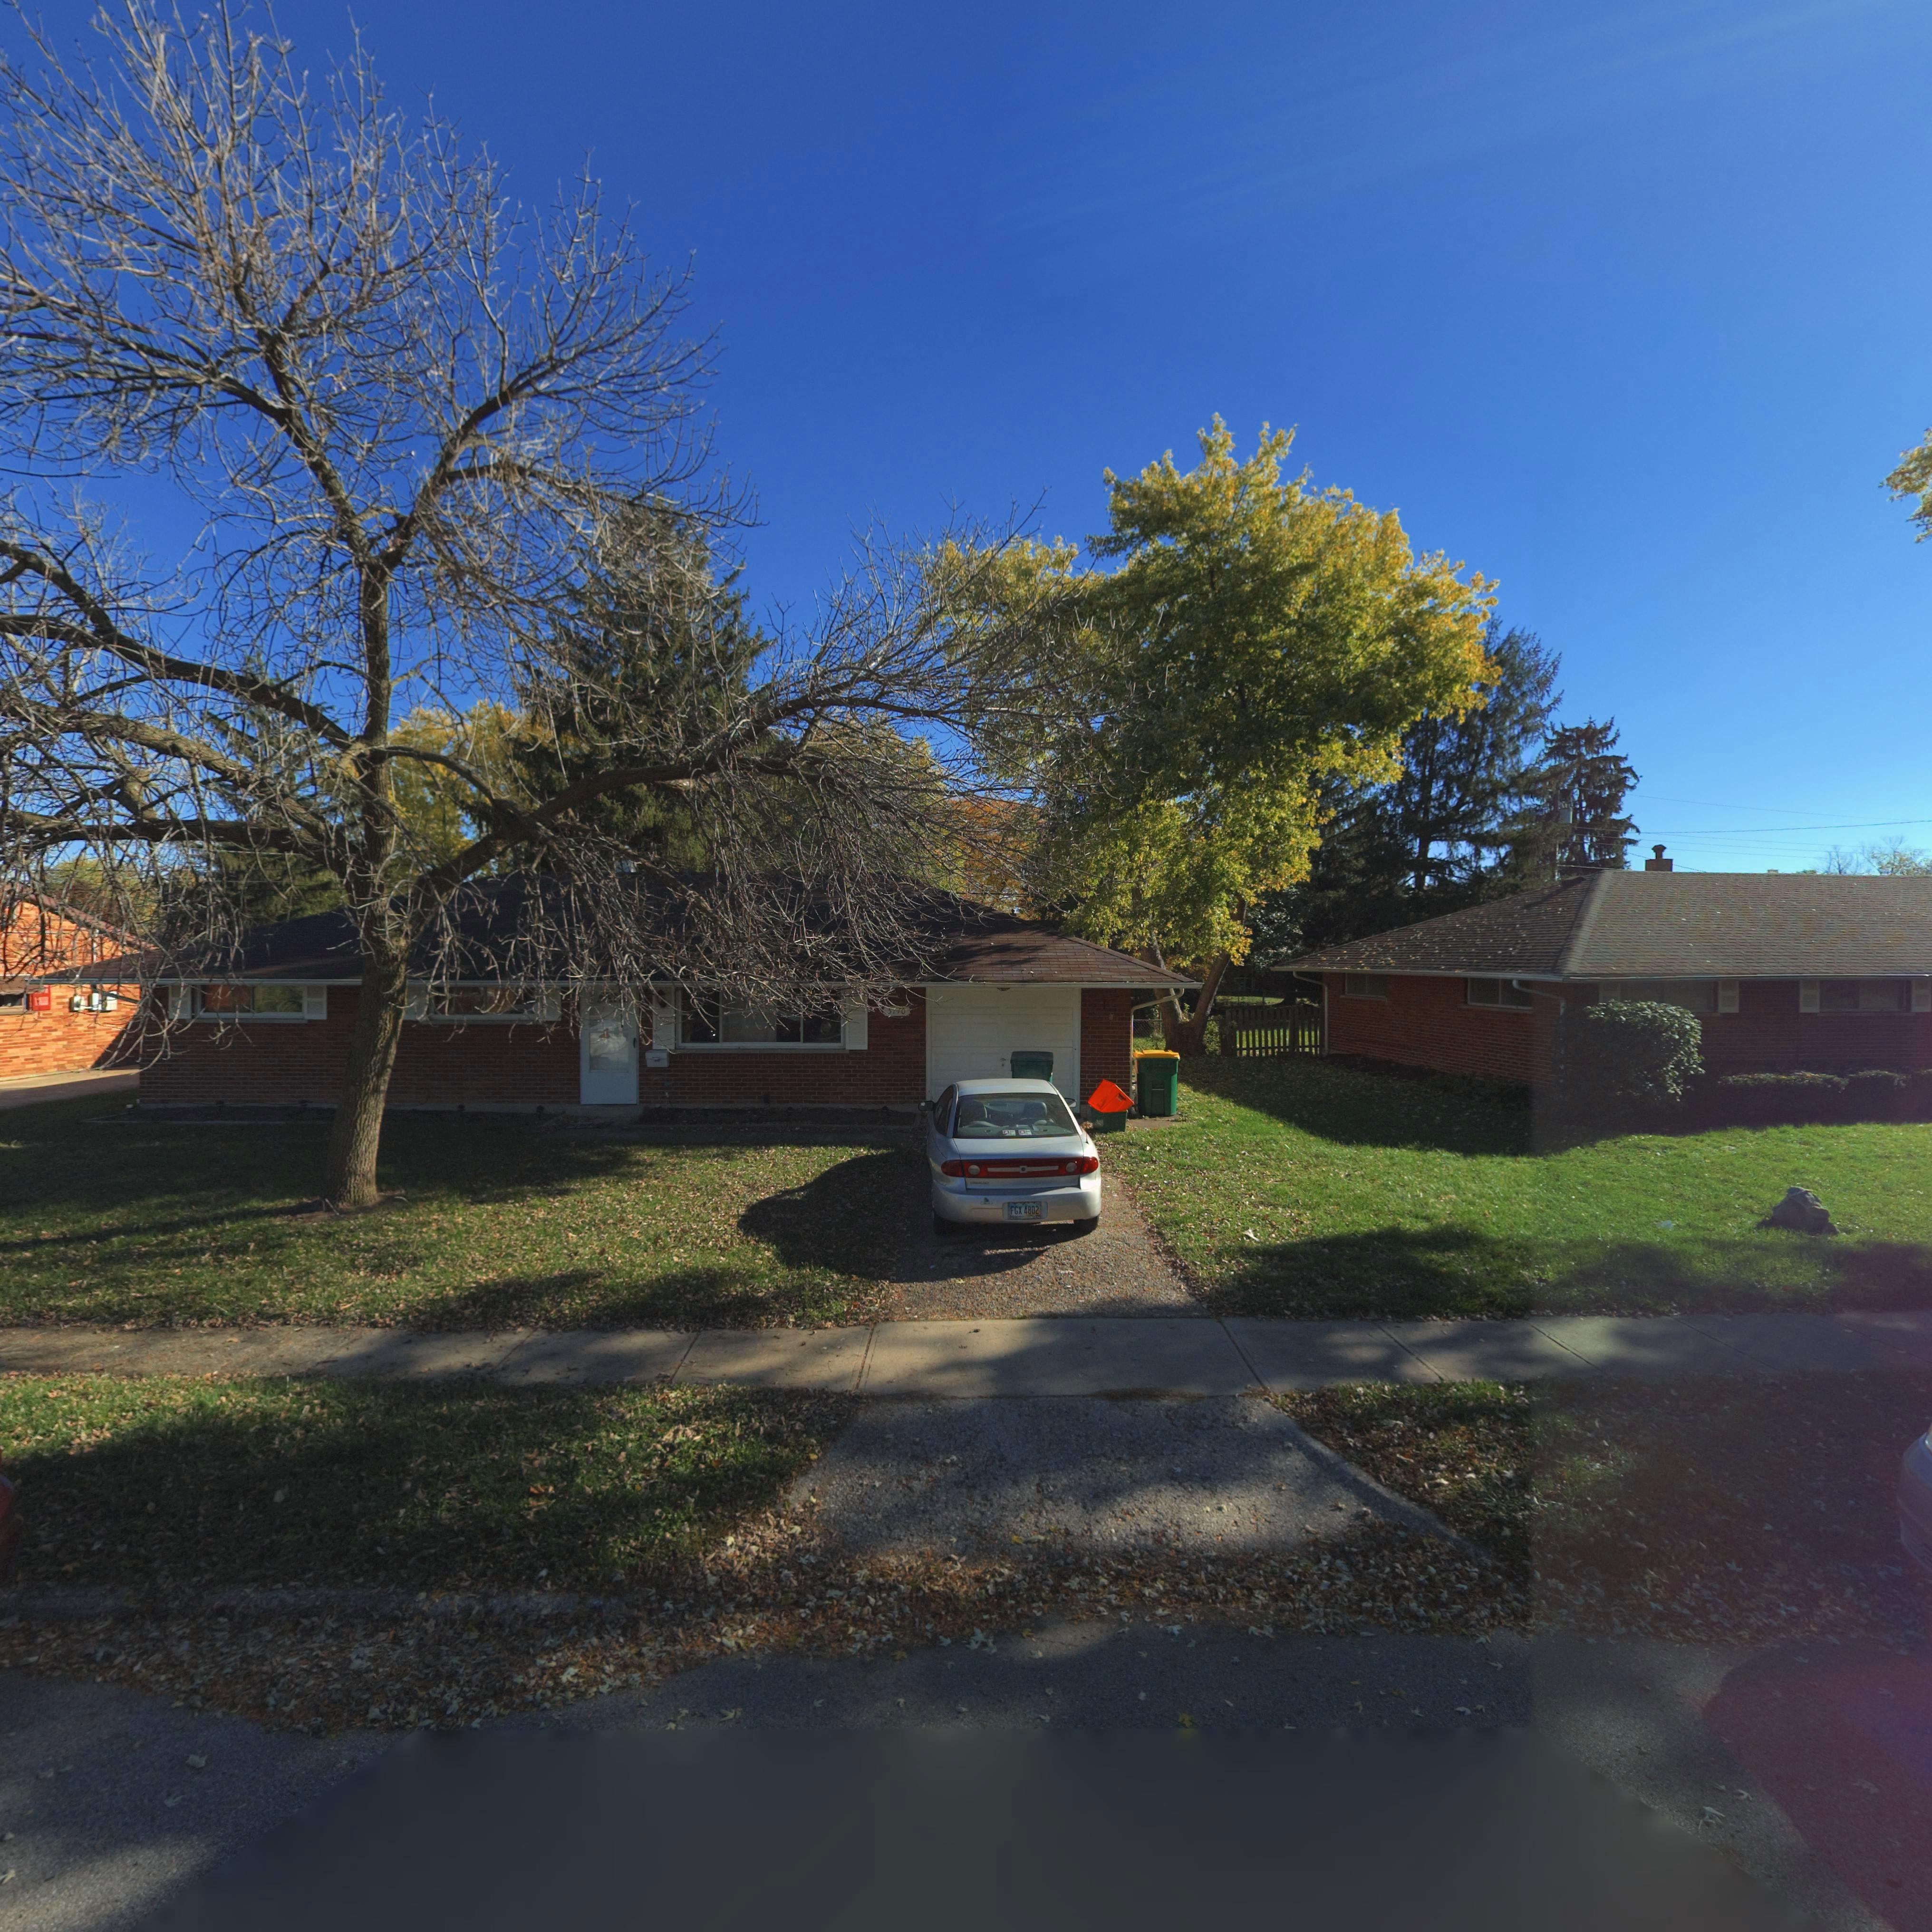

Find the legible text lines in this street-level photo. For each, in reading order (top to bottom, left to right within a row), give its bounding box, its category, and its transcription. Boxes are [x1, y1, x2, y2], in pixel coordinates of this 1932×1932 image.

[887, 1007, 906, 1014] StreetNumber: 5140